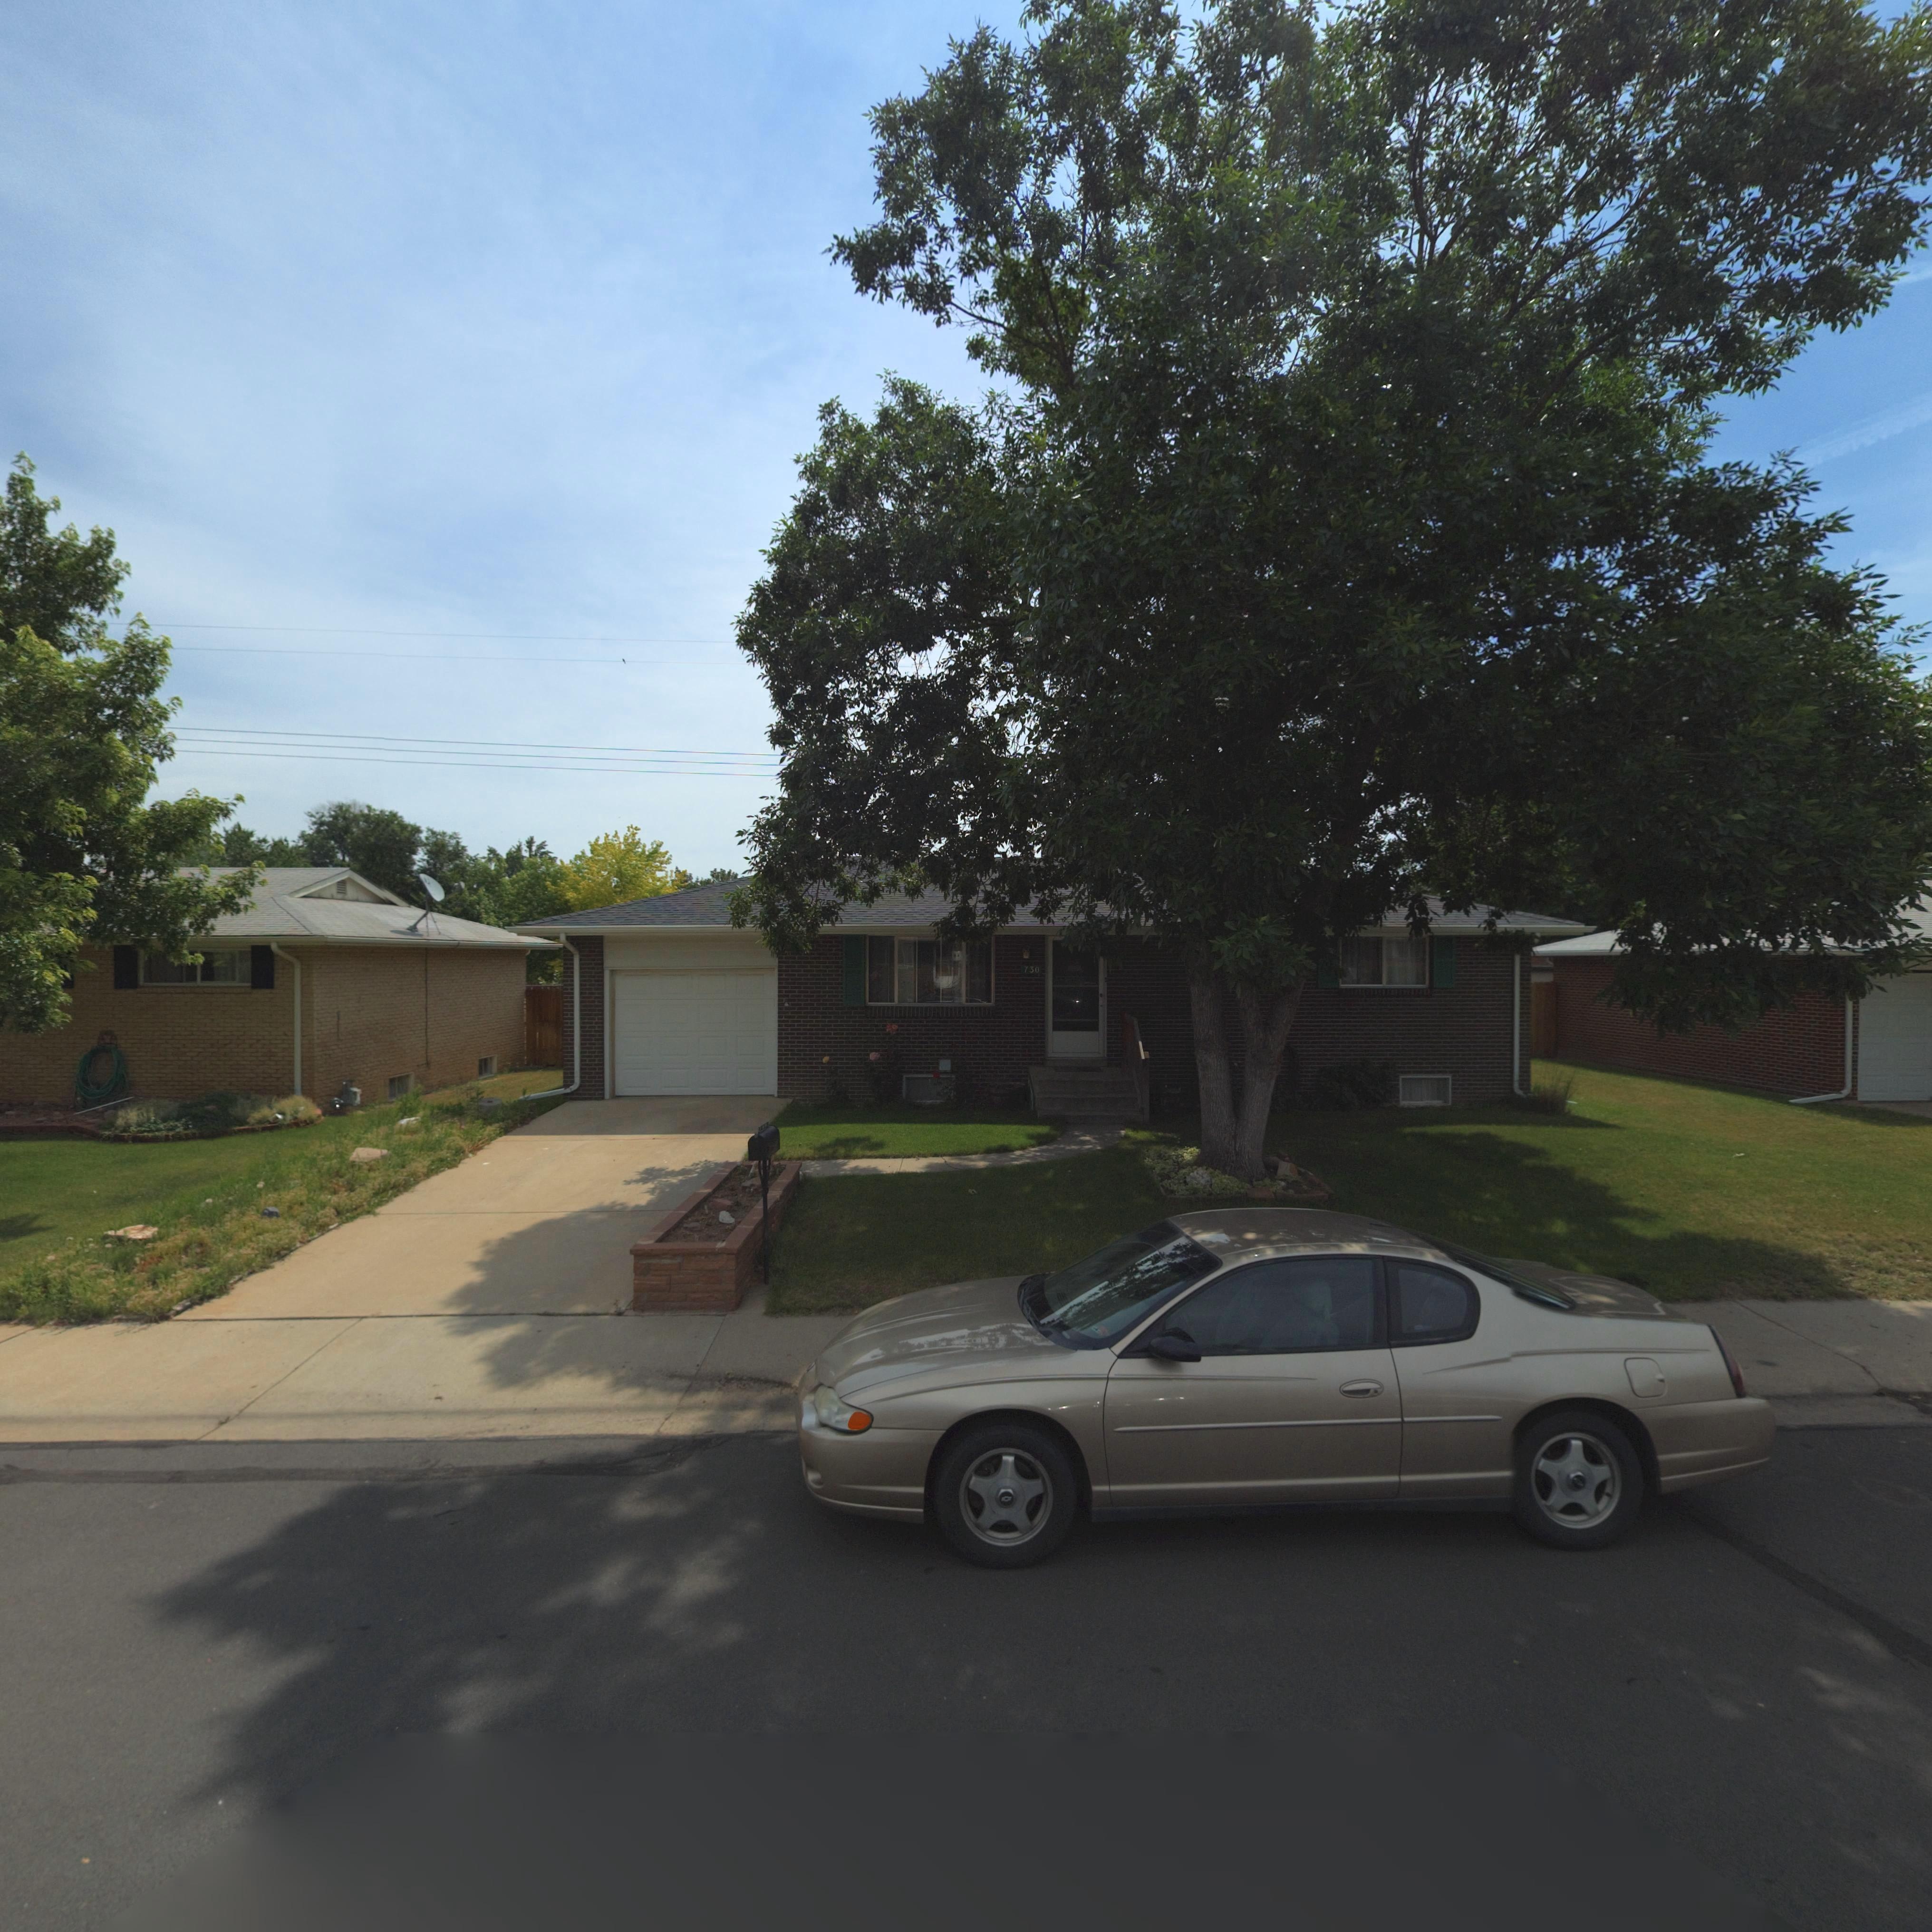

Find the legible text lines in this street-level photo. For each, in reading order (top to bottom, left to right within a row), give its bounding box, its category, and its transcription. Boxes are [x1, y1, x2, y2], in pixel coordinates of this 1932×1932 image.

[1023, 966, 1040, 974] StreetNumber: 730